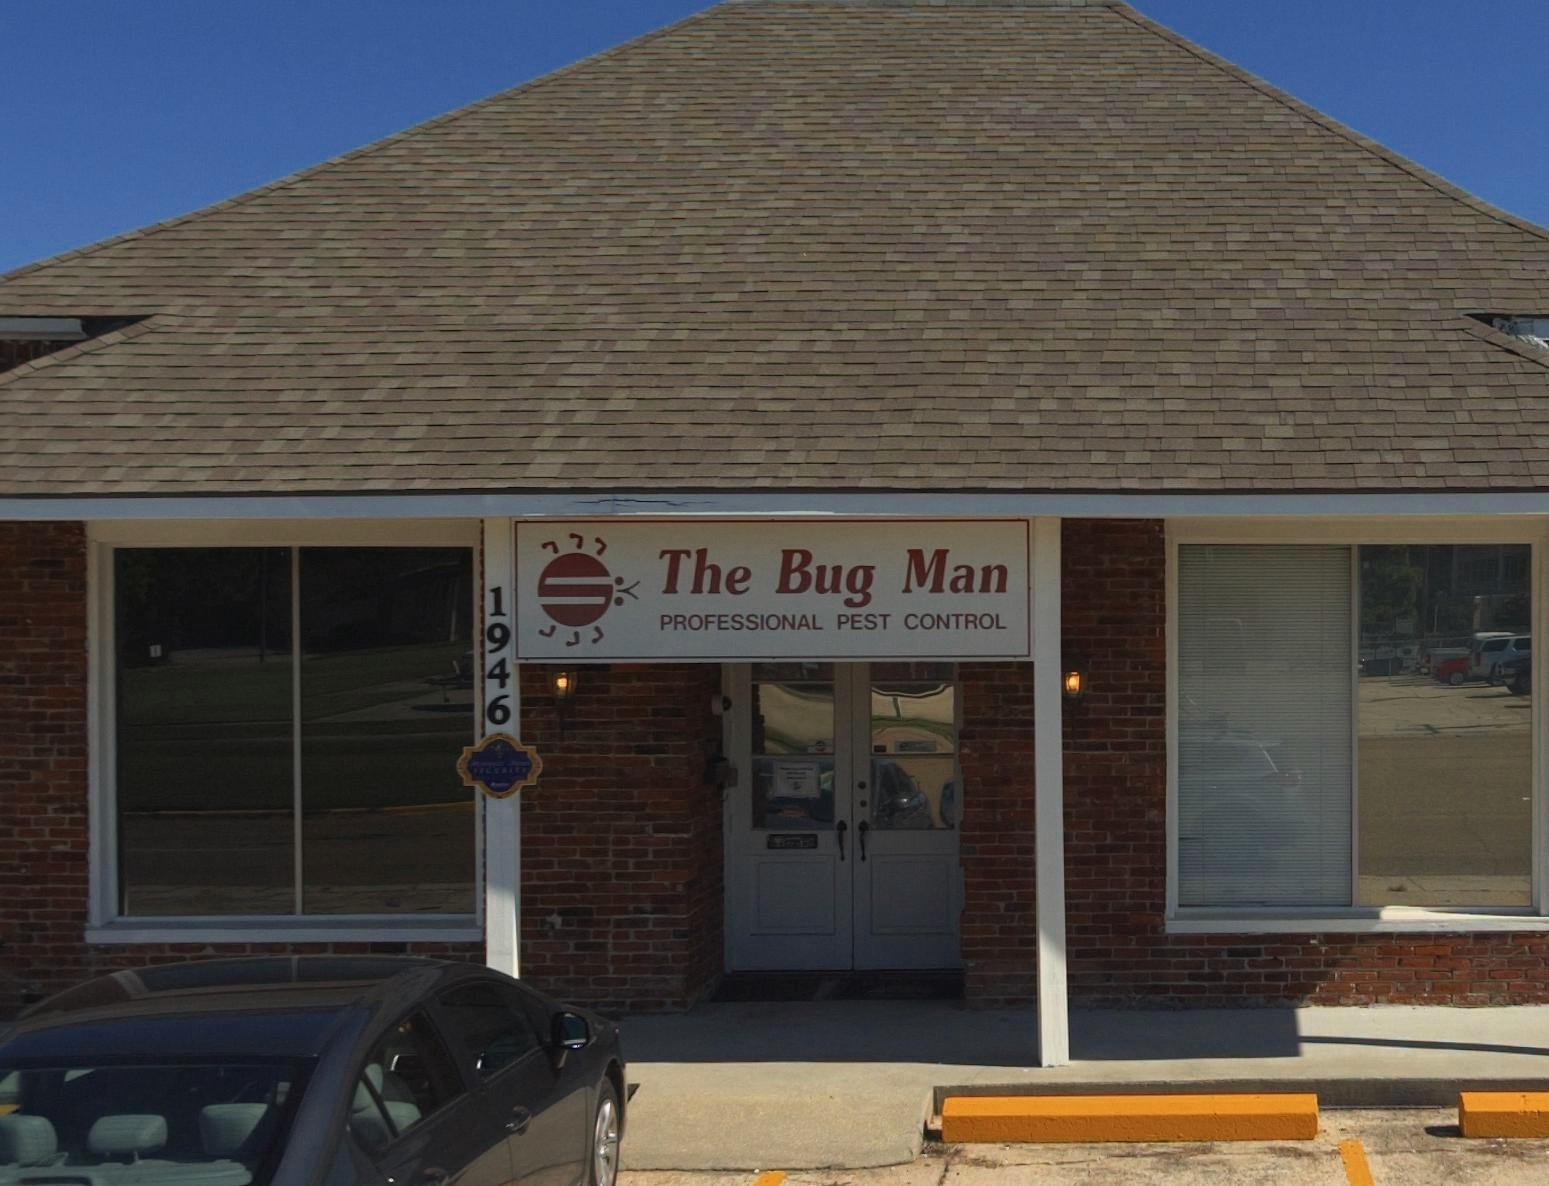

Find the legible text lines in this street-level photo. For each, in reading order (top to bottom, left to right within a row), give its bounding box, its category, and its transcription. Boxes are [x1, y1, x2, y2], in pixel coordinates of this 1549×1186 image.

[654, 544, 1014, 612] BusinessName: The Bug Man
[483, 581, 515, 729] StreetNumber: 1946
[657, 610, 1010, 635] BusinessName: PROFESSIONAL PEST CONTROL